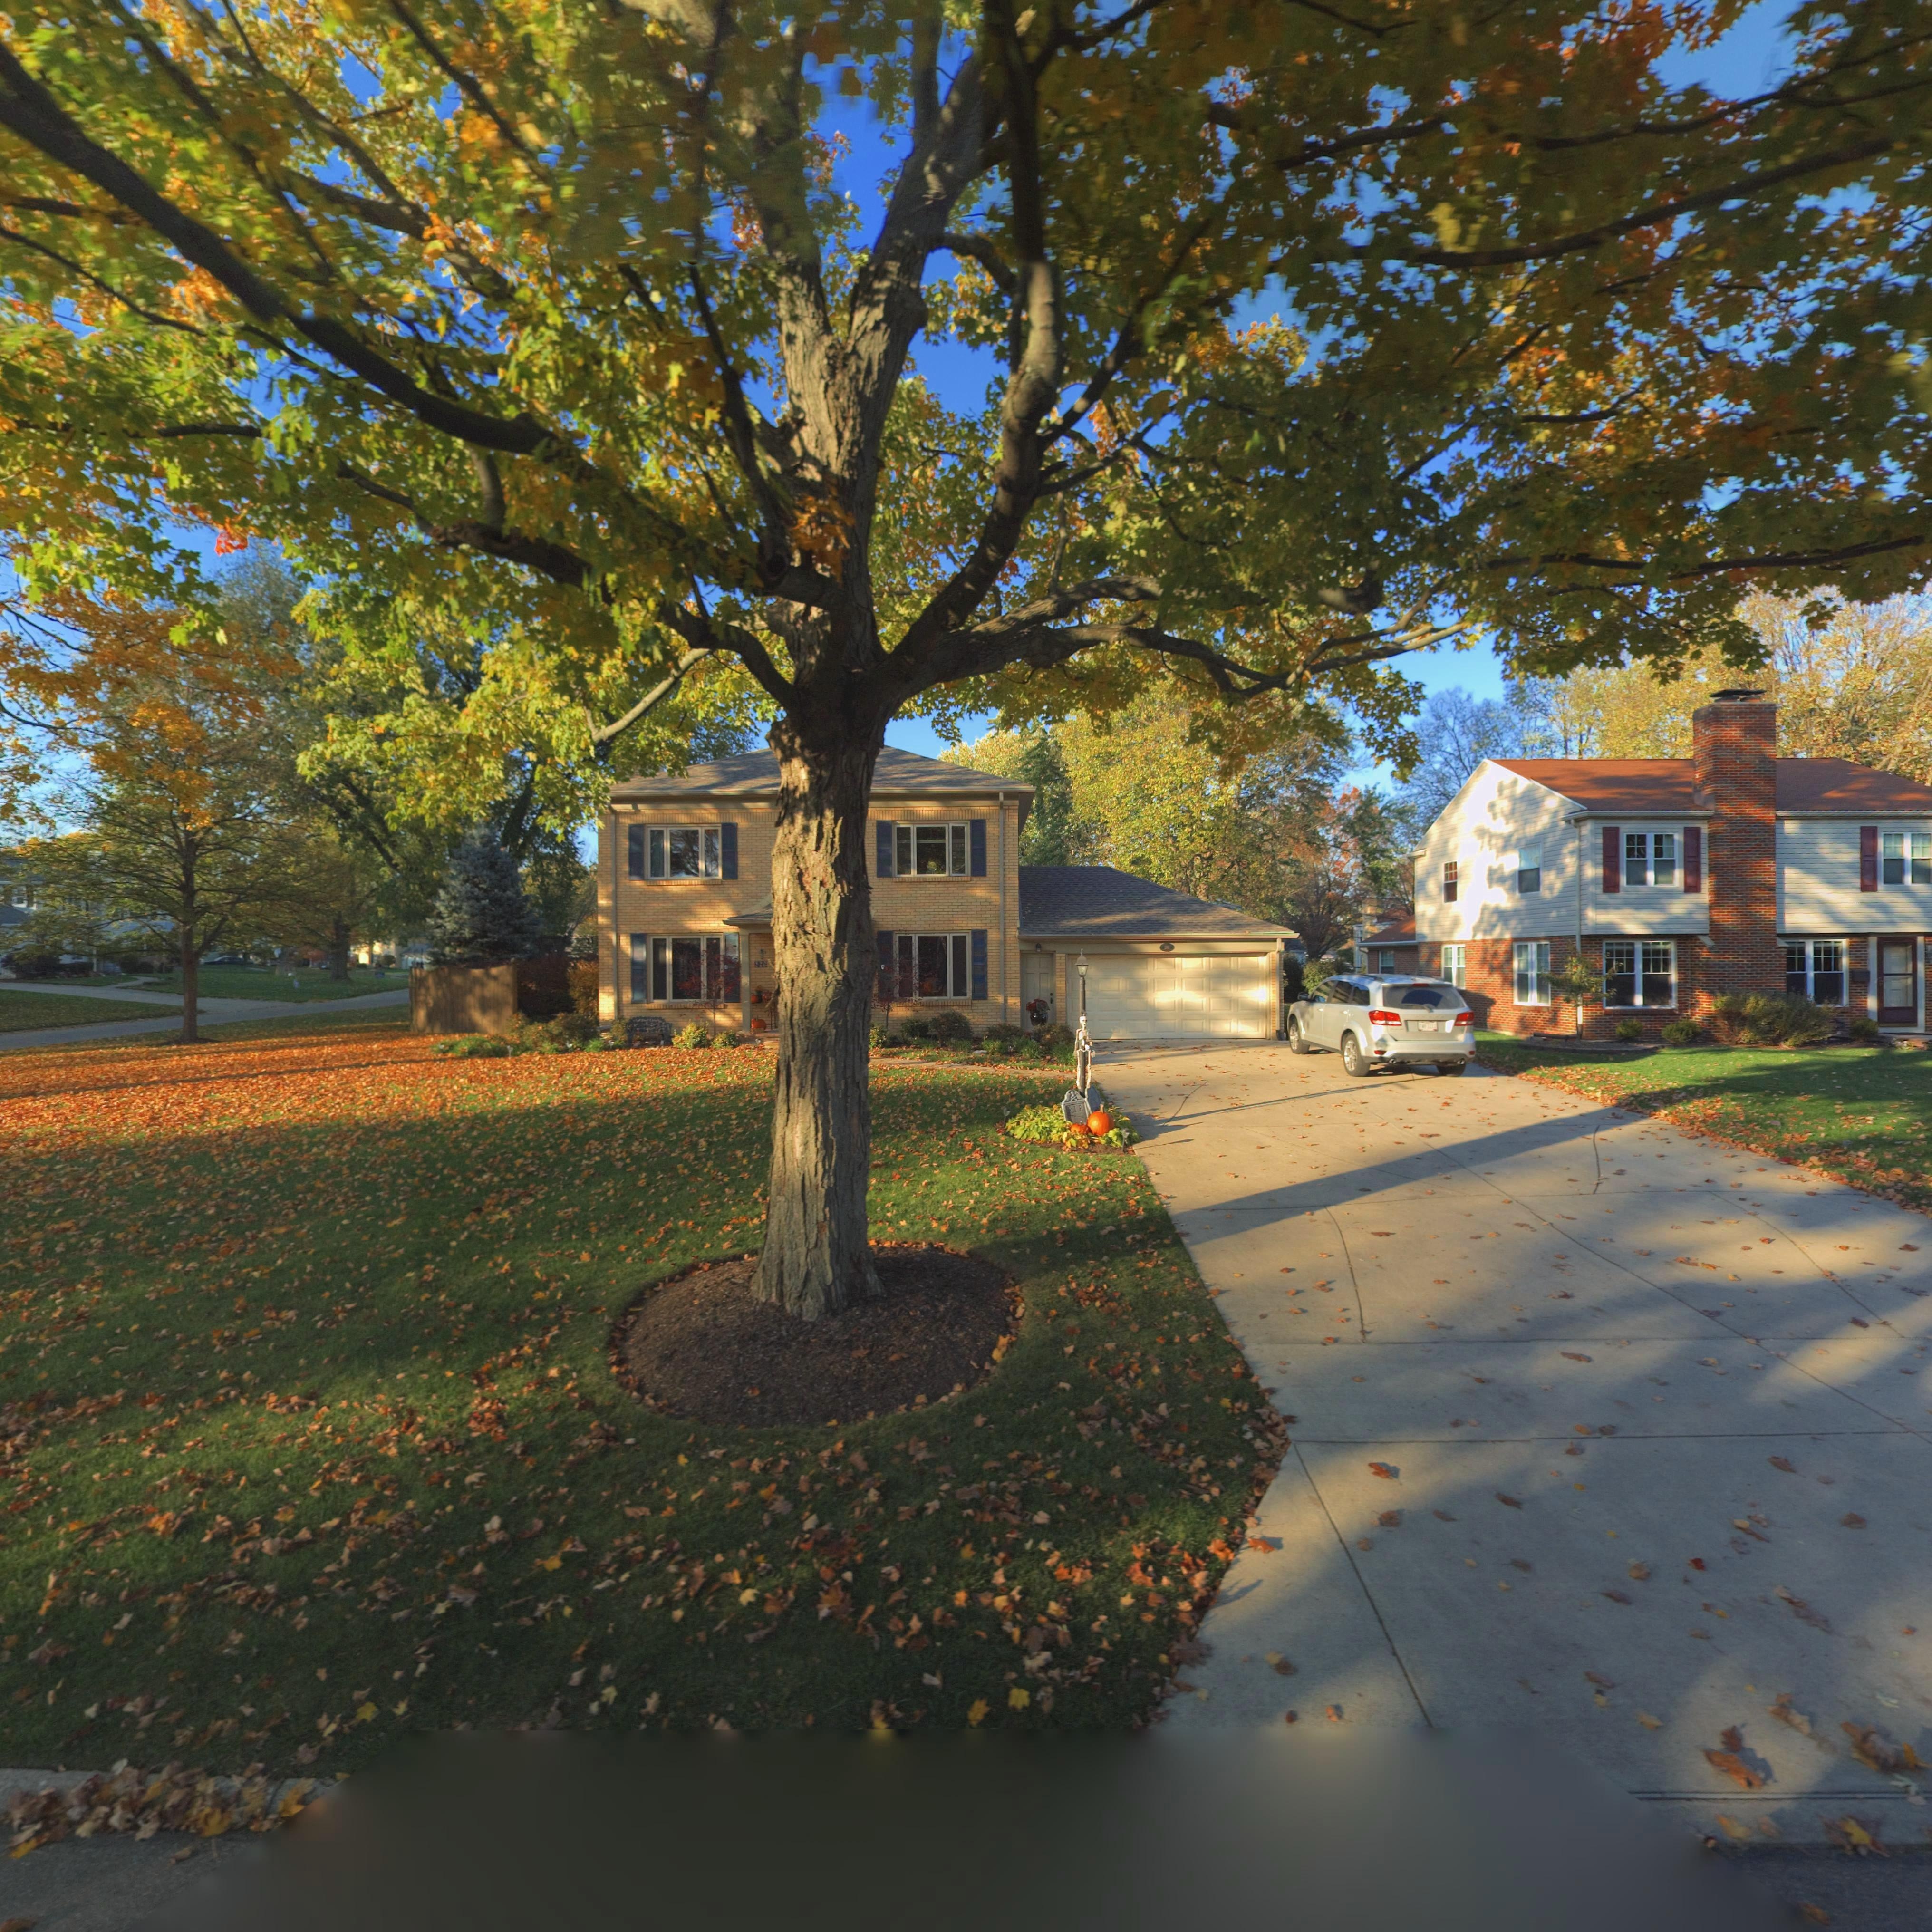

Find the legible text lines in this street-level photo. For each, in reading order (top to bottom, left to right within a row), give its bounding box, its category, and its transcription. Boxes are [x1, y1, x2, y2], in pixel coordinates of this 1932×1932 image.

[1164, 946, 1170, 950] StreetNumber: 3*1